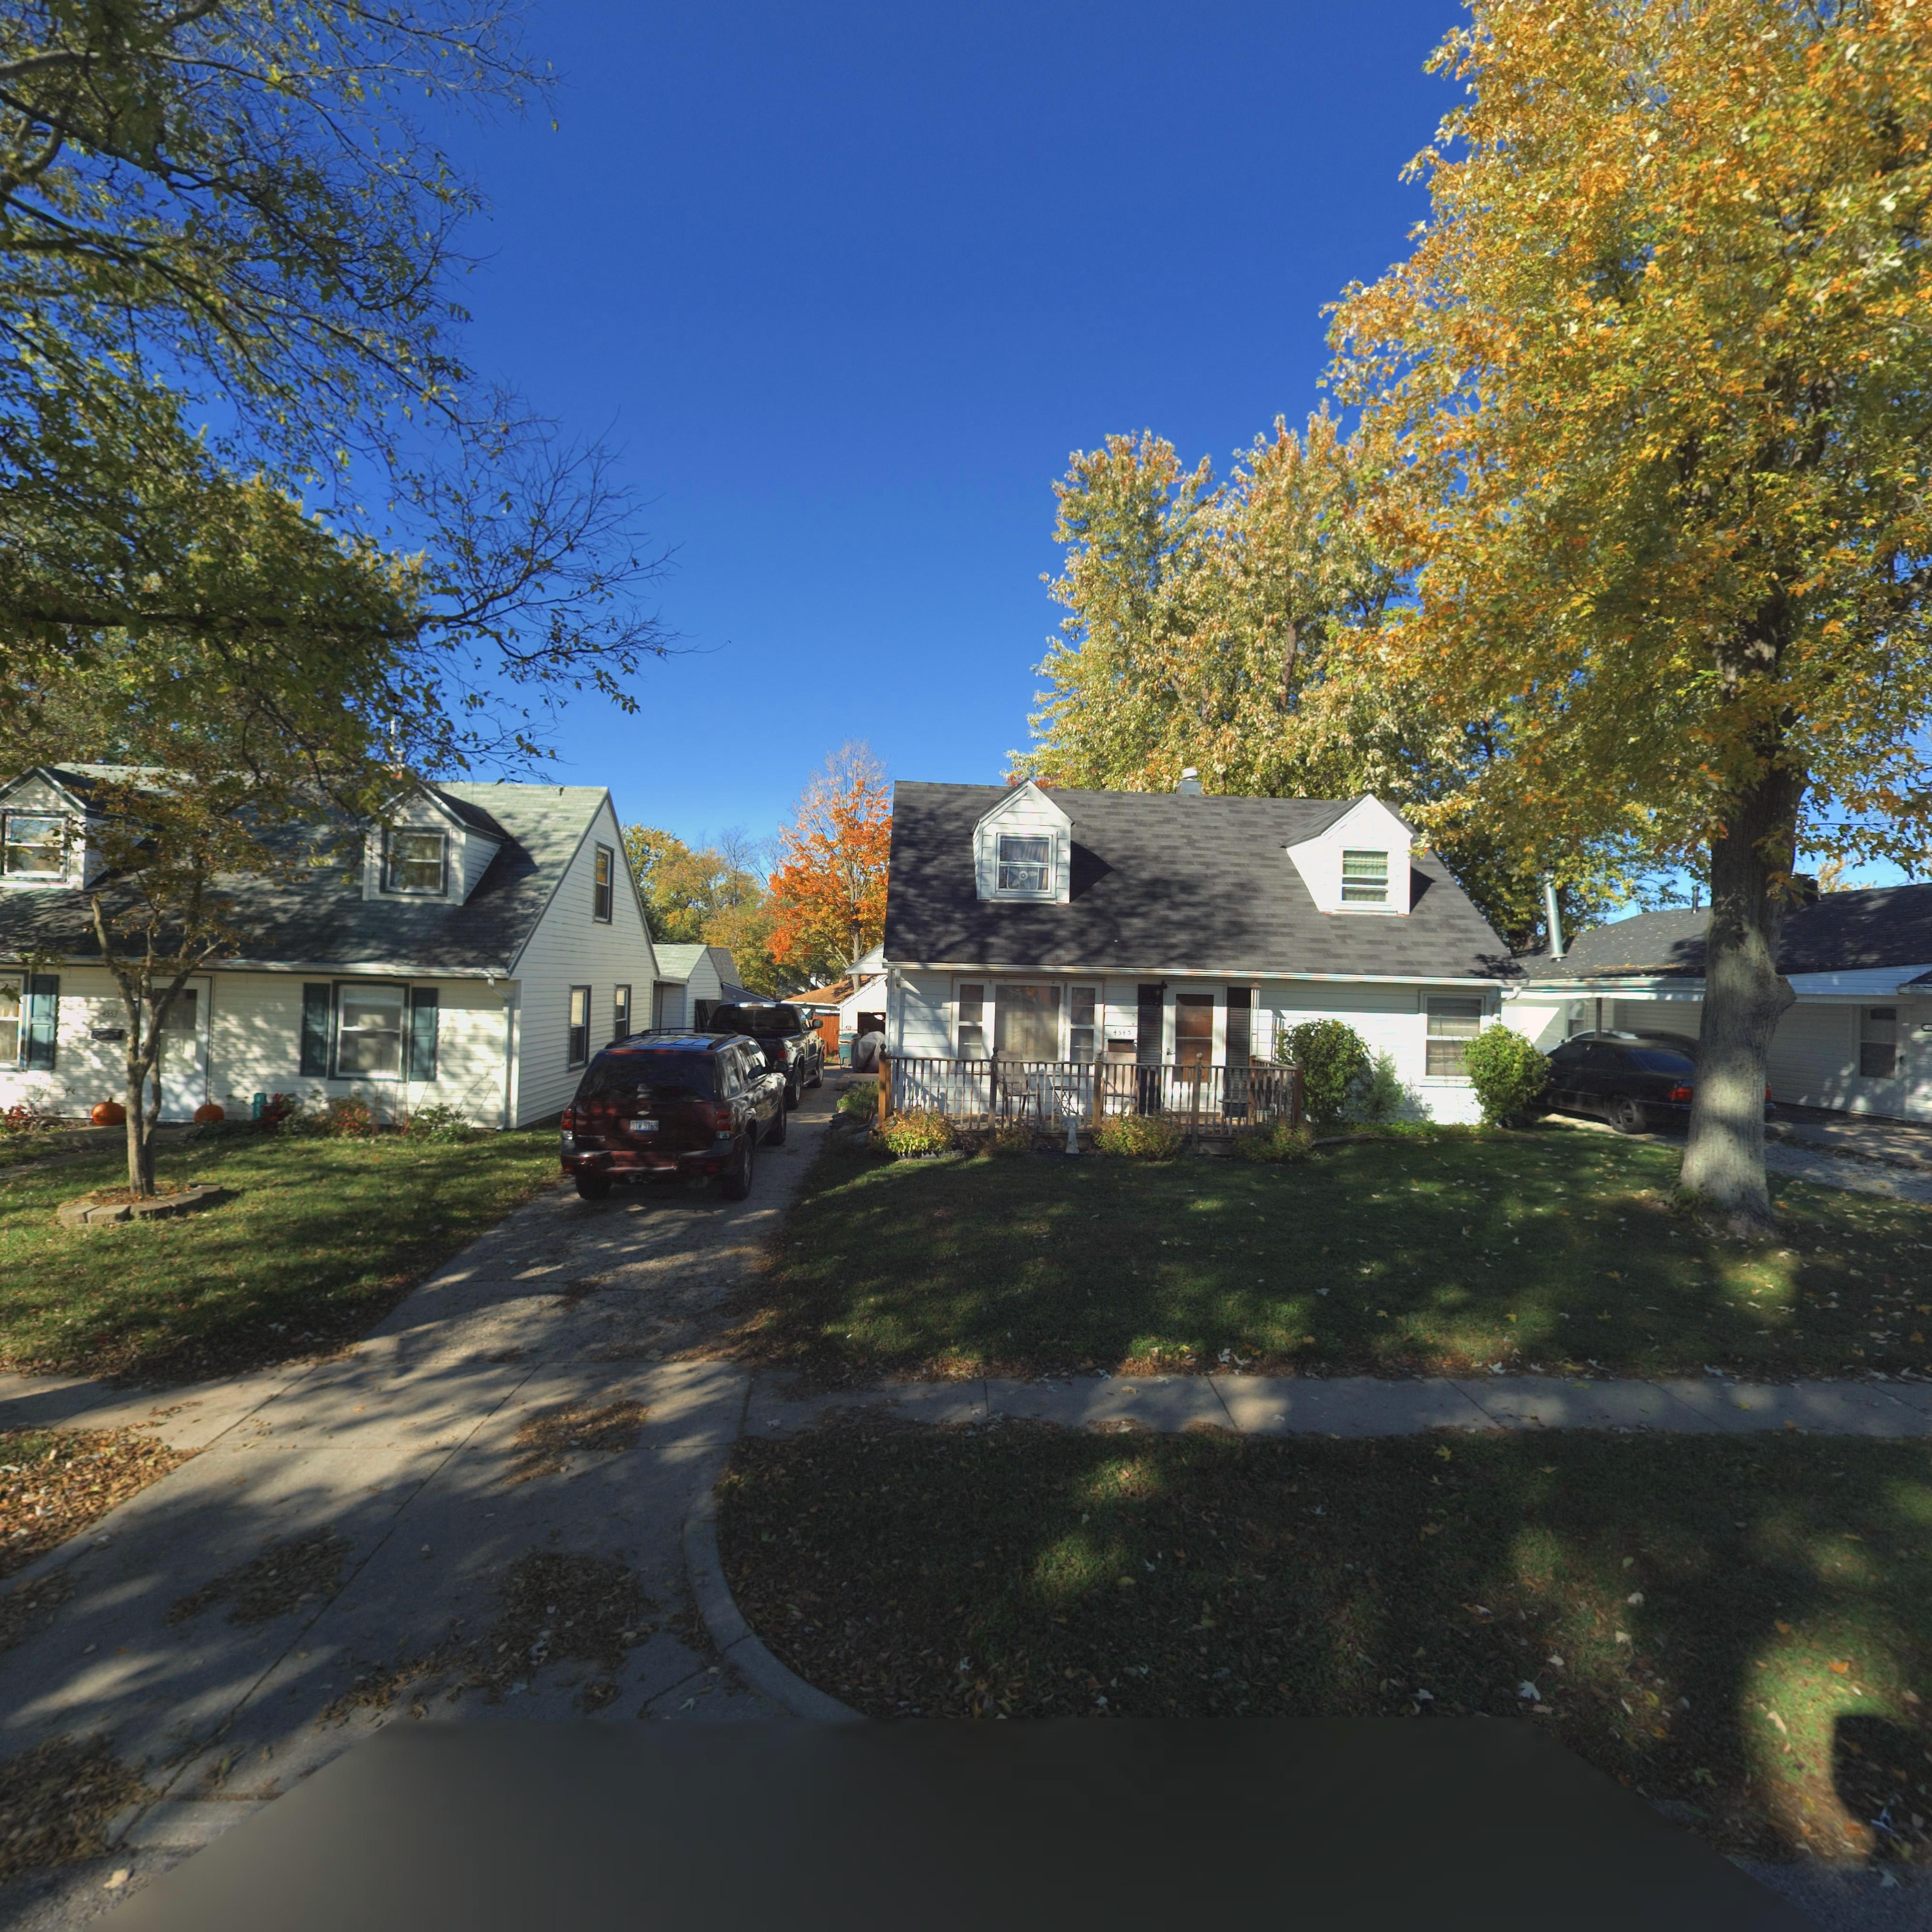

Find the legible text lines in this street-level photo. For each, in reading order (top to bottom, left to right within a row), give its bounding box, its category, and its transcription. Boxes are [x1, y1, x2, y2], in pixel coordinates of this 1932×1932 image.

[99, 1009, 119, 1018] StreetNumber: 4553
[1113, 1029, 1131, 1036] StreetNumber: 4543
[255, 1095, 261, 1118] StreetNumber: 455